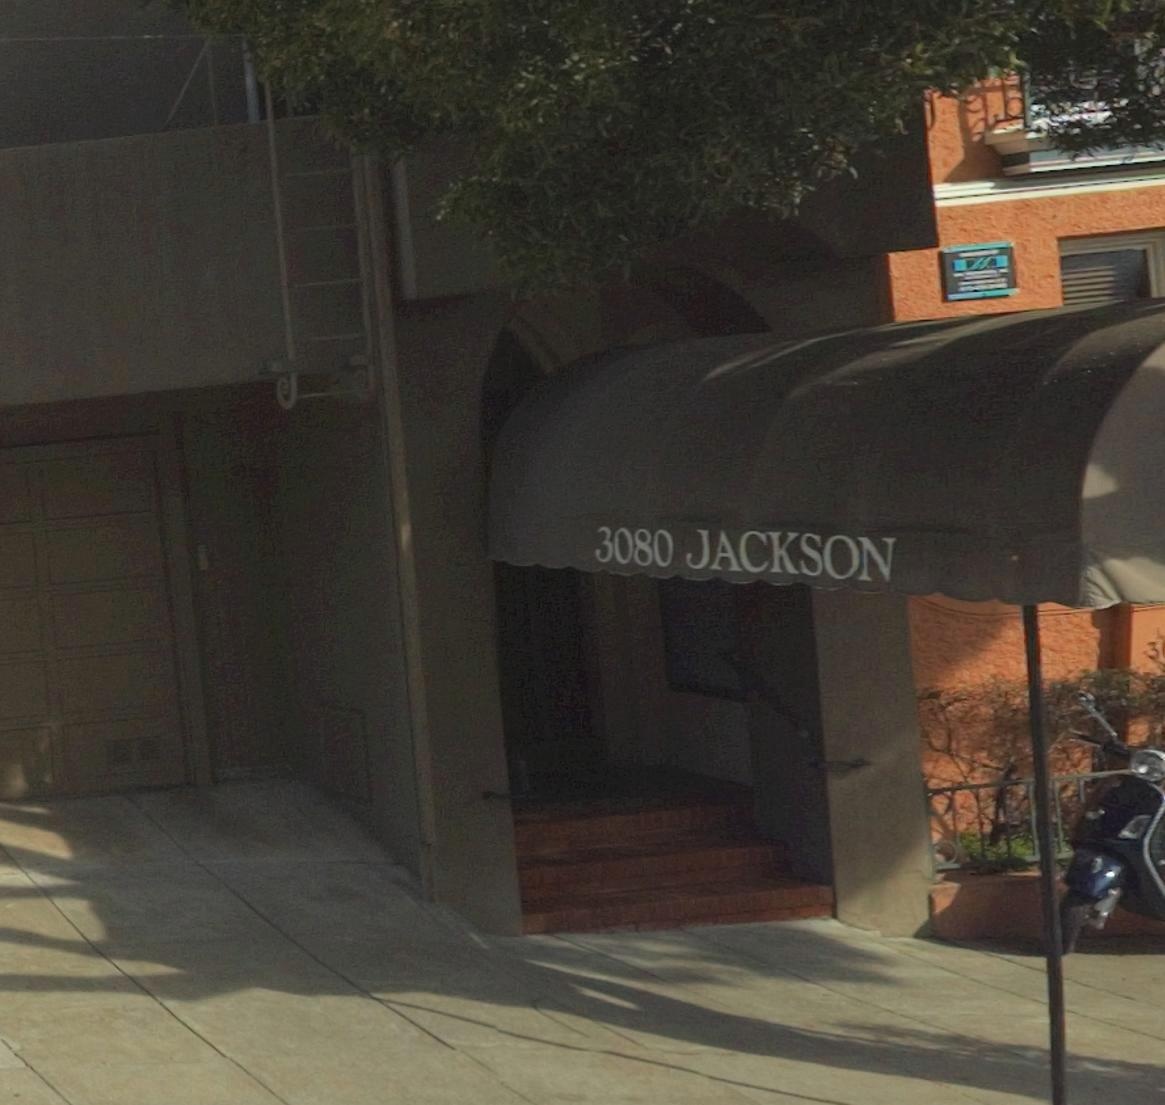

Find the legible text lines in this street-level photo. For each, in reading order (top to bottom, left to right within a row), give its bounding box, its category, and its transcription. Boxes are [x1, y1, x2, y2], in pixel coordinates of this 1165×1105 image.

[592, 523, 677, 570] StreetNumber: 3080
[681, 525, 901, 587] StreetName: JACKSON